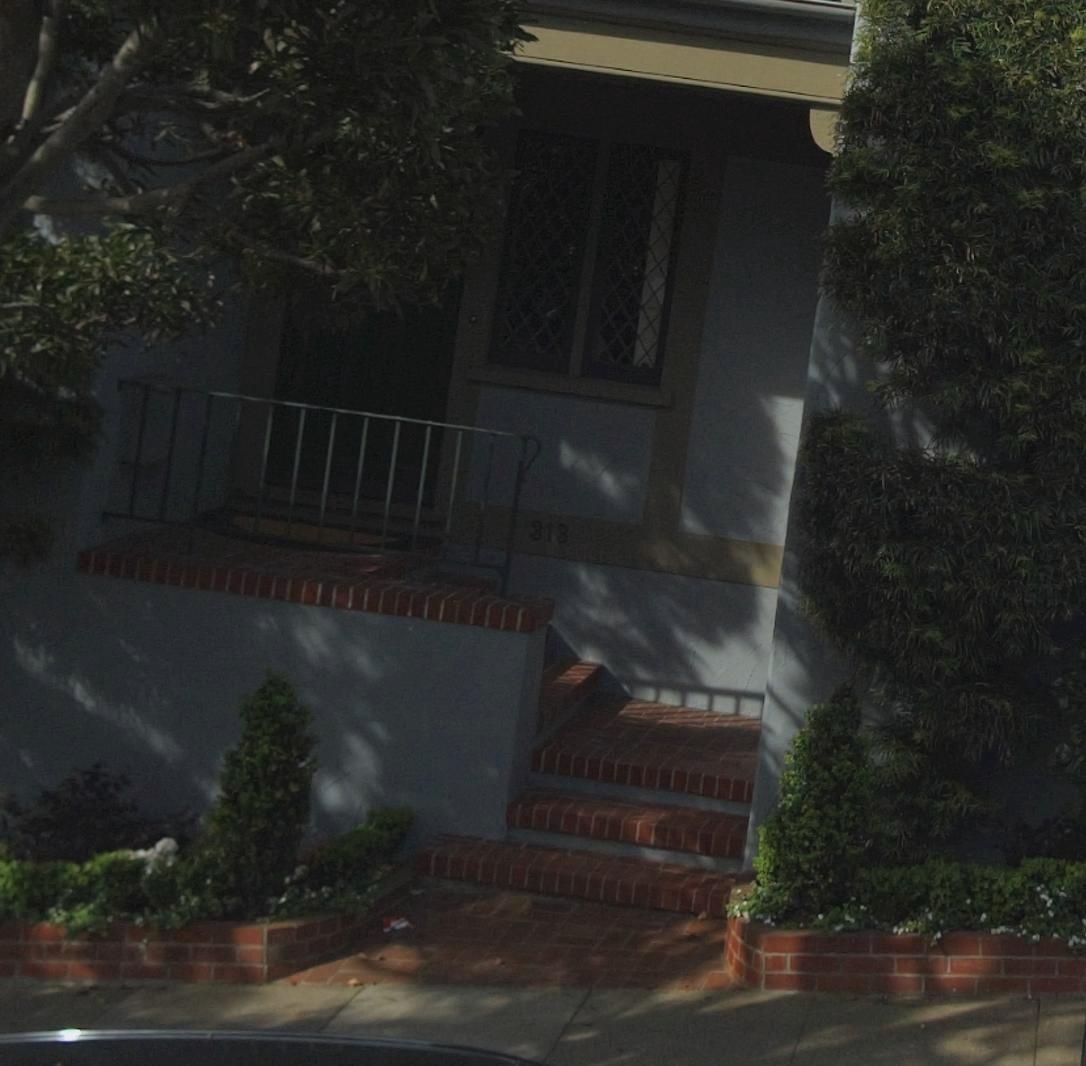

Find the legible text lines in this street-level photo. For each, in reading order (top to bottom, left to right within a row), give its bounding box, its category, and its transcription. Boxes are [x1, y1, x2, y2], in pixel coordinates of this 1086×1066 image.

[527, 517, 573, 547] StreetNumber: 313